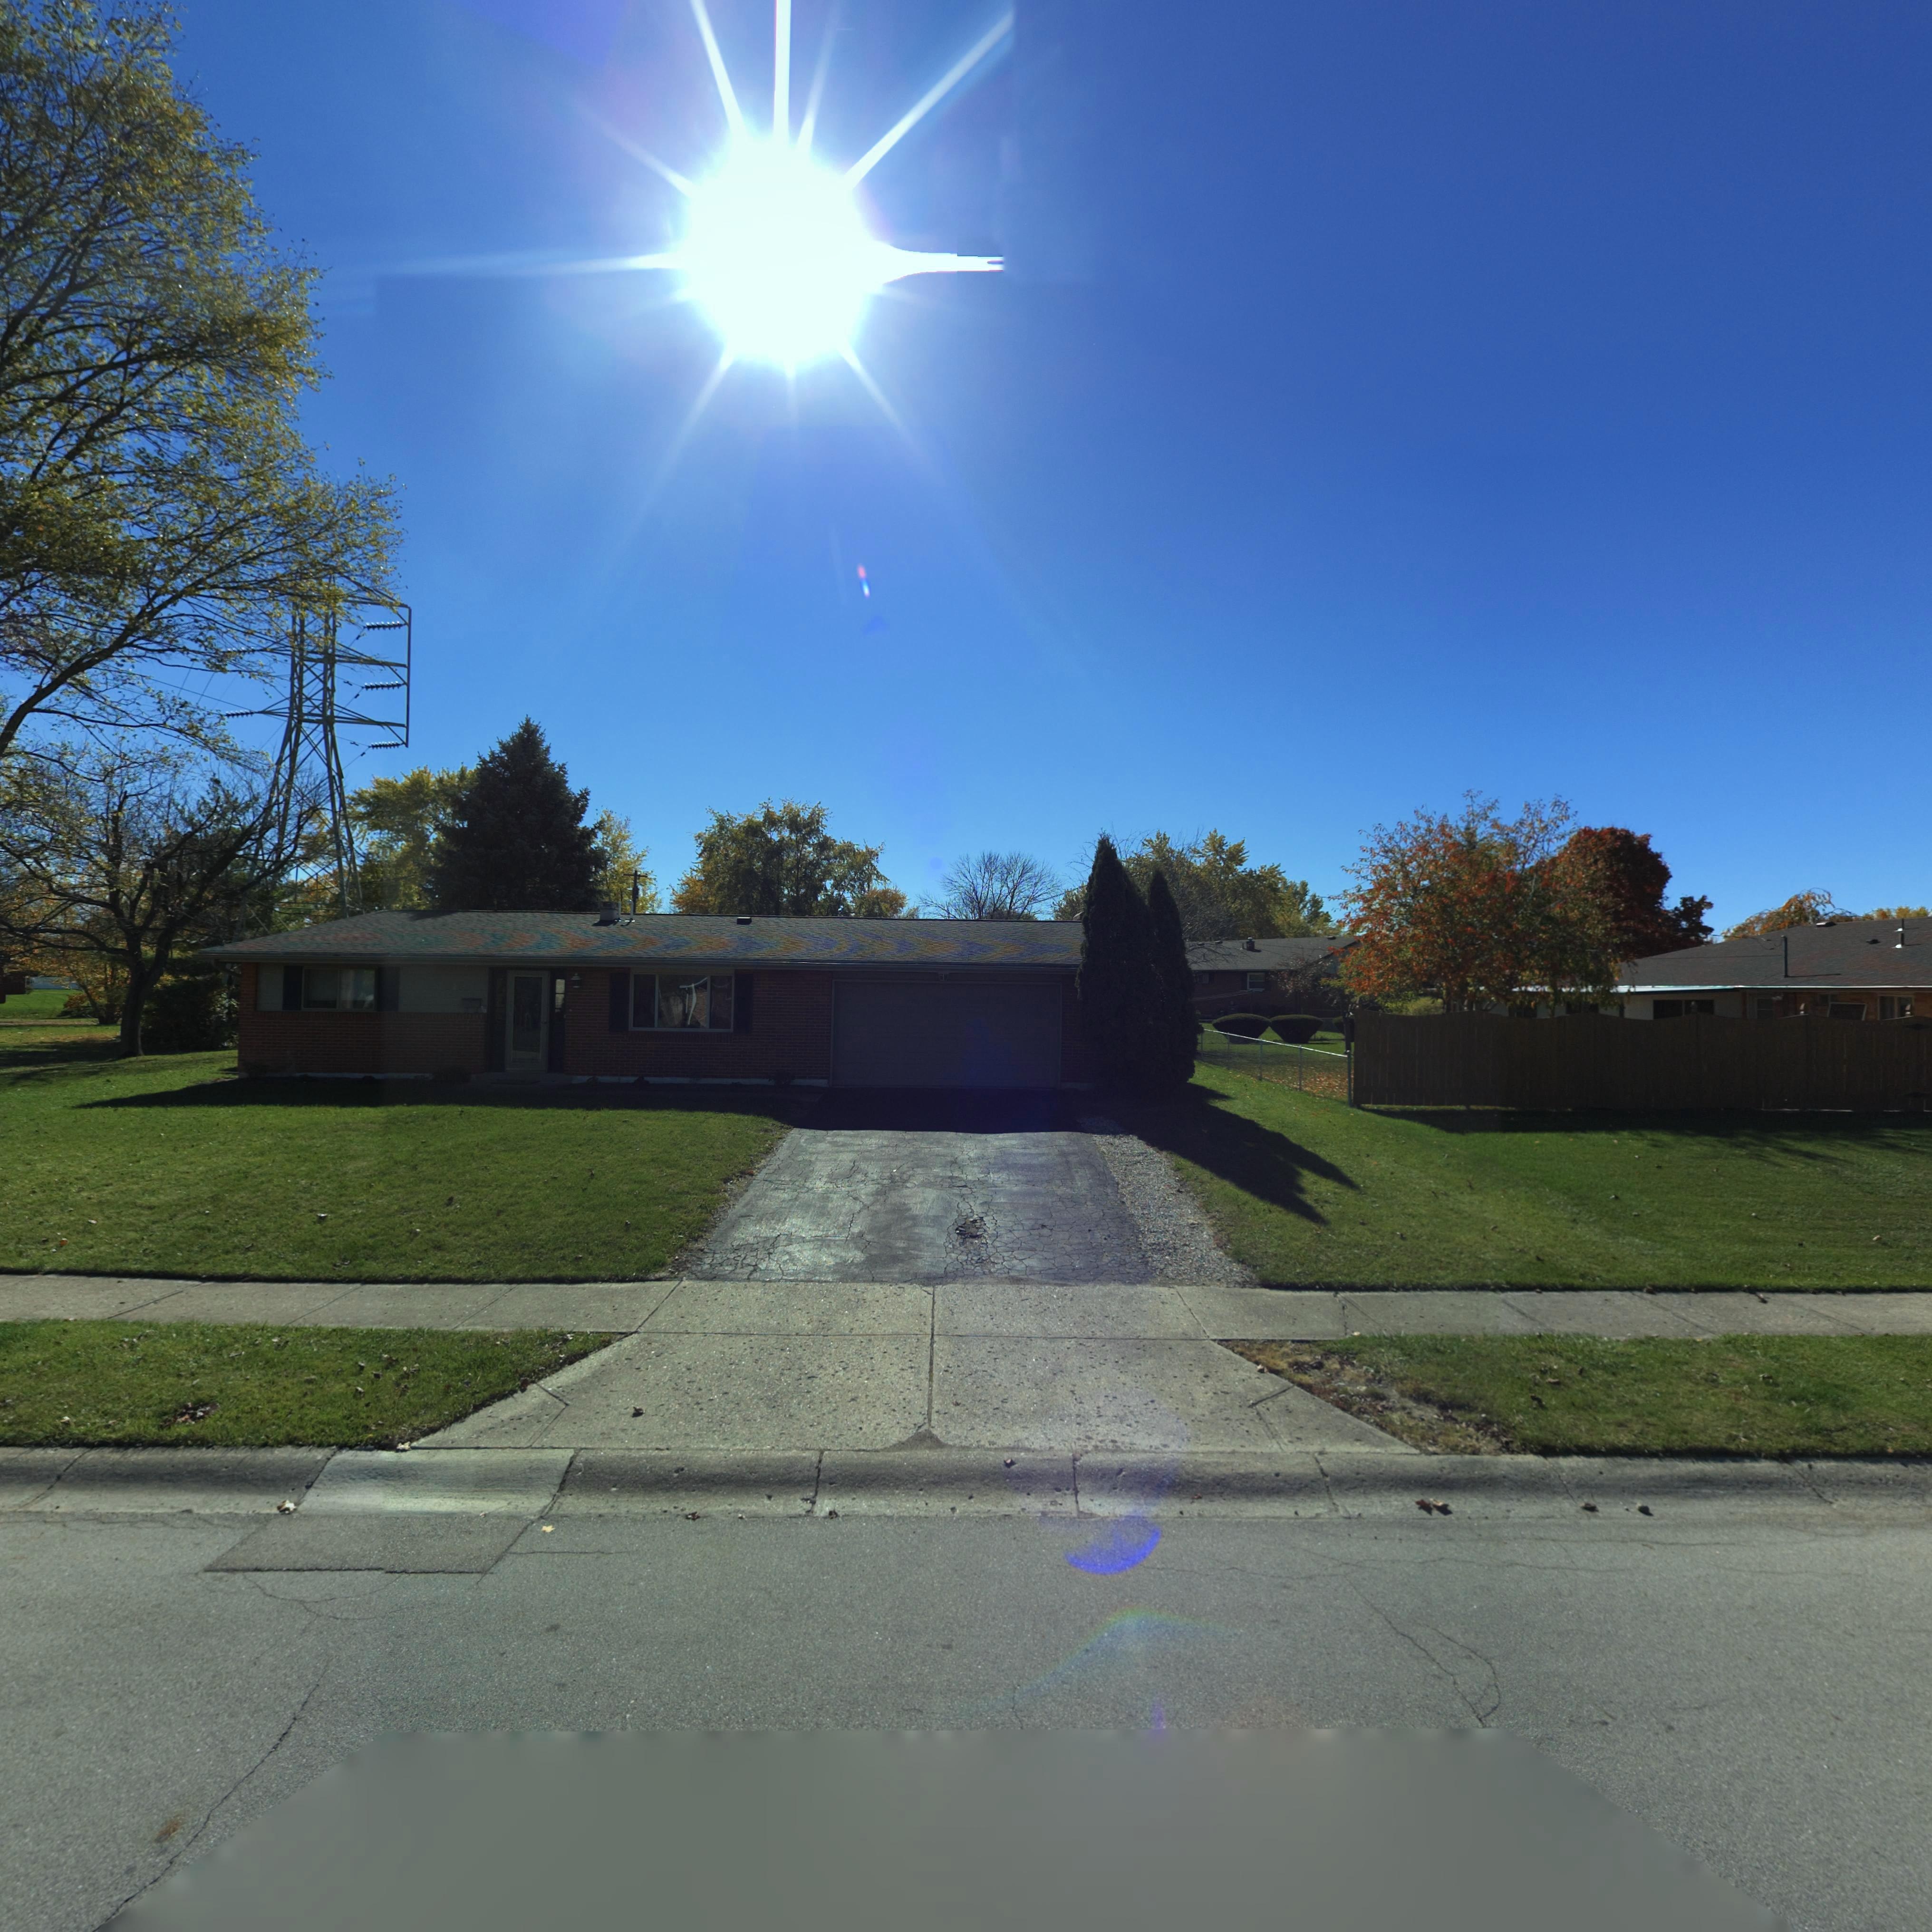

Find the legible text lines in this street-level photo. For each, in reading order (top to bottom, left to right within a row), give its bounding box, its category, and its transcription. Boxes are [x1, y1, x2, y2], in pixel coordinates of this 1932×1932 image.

[452, 983, 457, 990] StreetNumber: 2